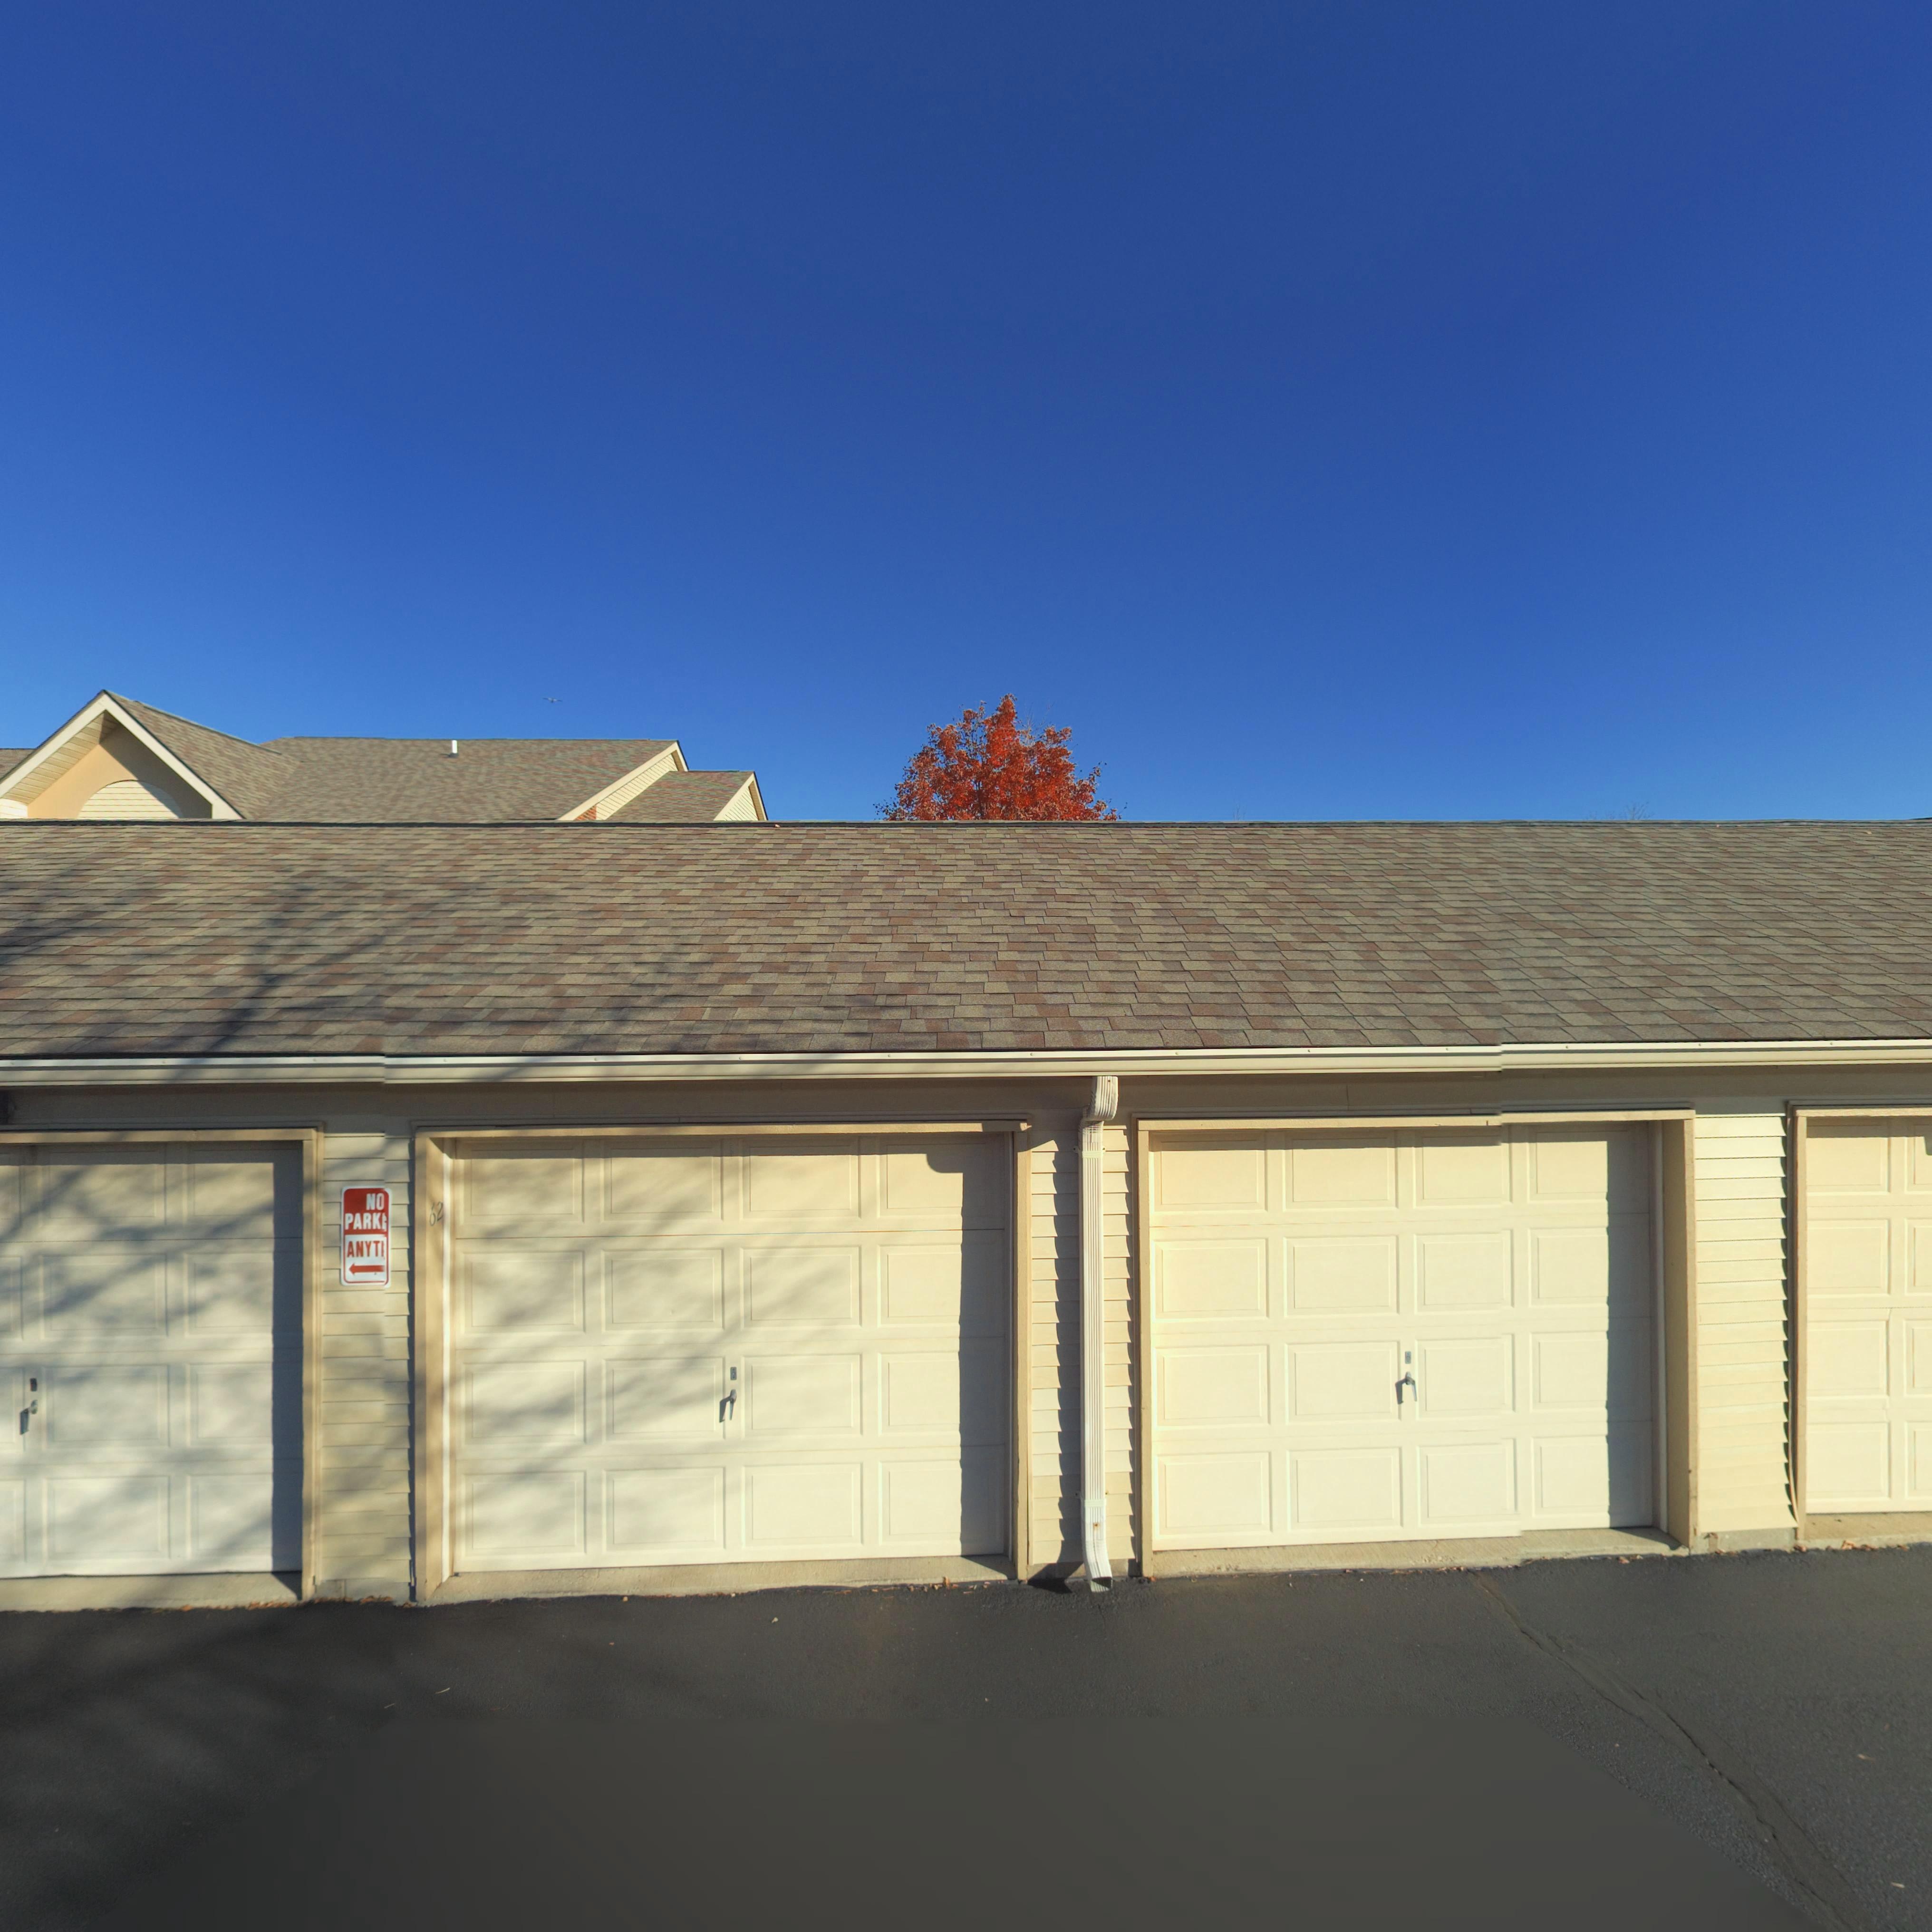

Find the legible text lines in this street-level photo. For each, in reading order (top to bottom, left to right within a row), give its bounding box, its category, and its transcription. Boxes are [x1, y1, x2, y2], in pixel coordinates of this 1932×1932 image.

[428, 1198, 444, 1230] StreetNumber: 62